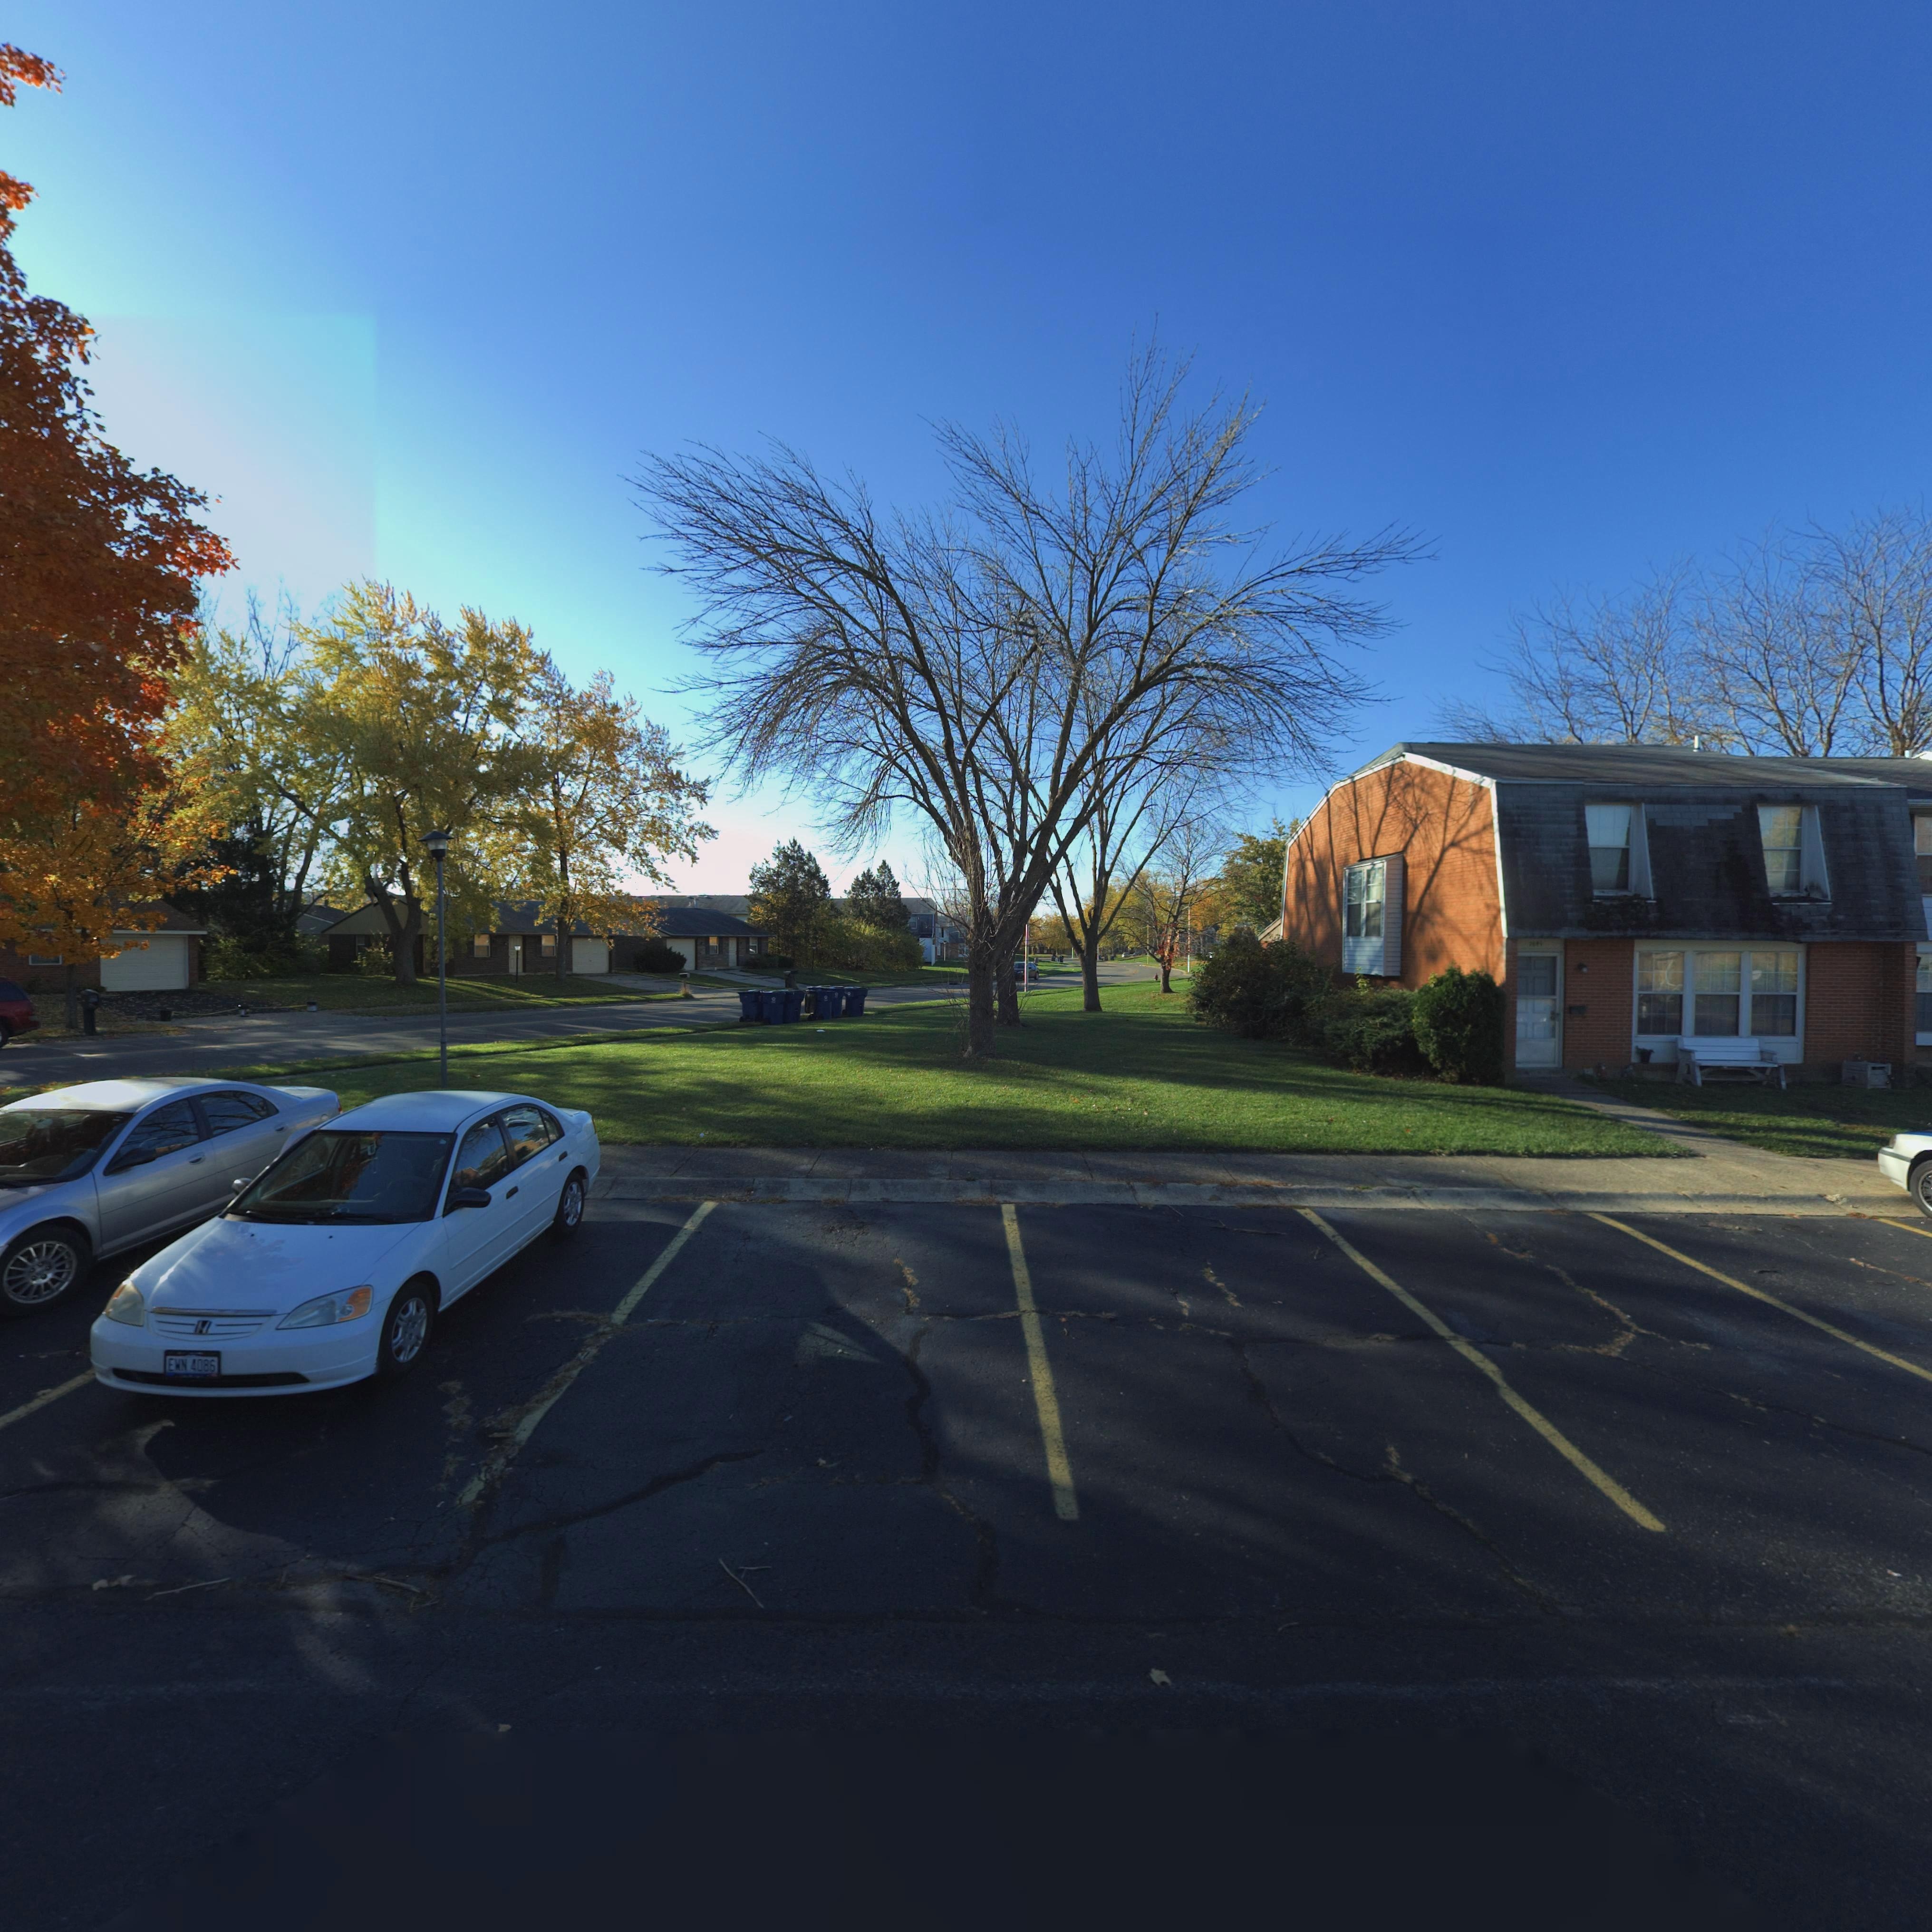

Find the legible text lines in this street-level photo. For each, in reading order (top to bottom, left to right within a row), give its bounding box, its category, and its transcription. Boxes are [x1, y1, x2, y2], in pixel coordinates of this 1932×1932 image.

[1527, 940, 1543, 948] StreetNumber: 769*